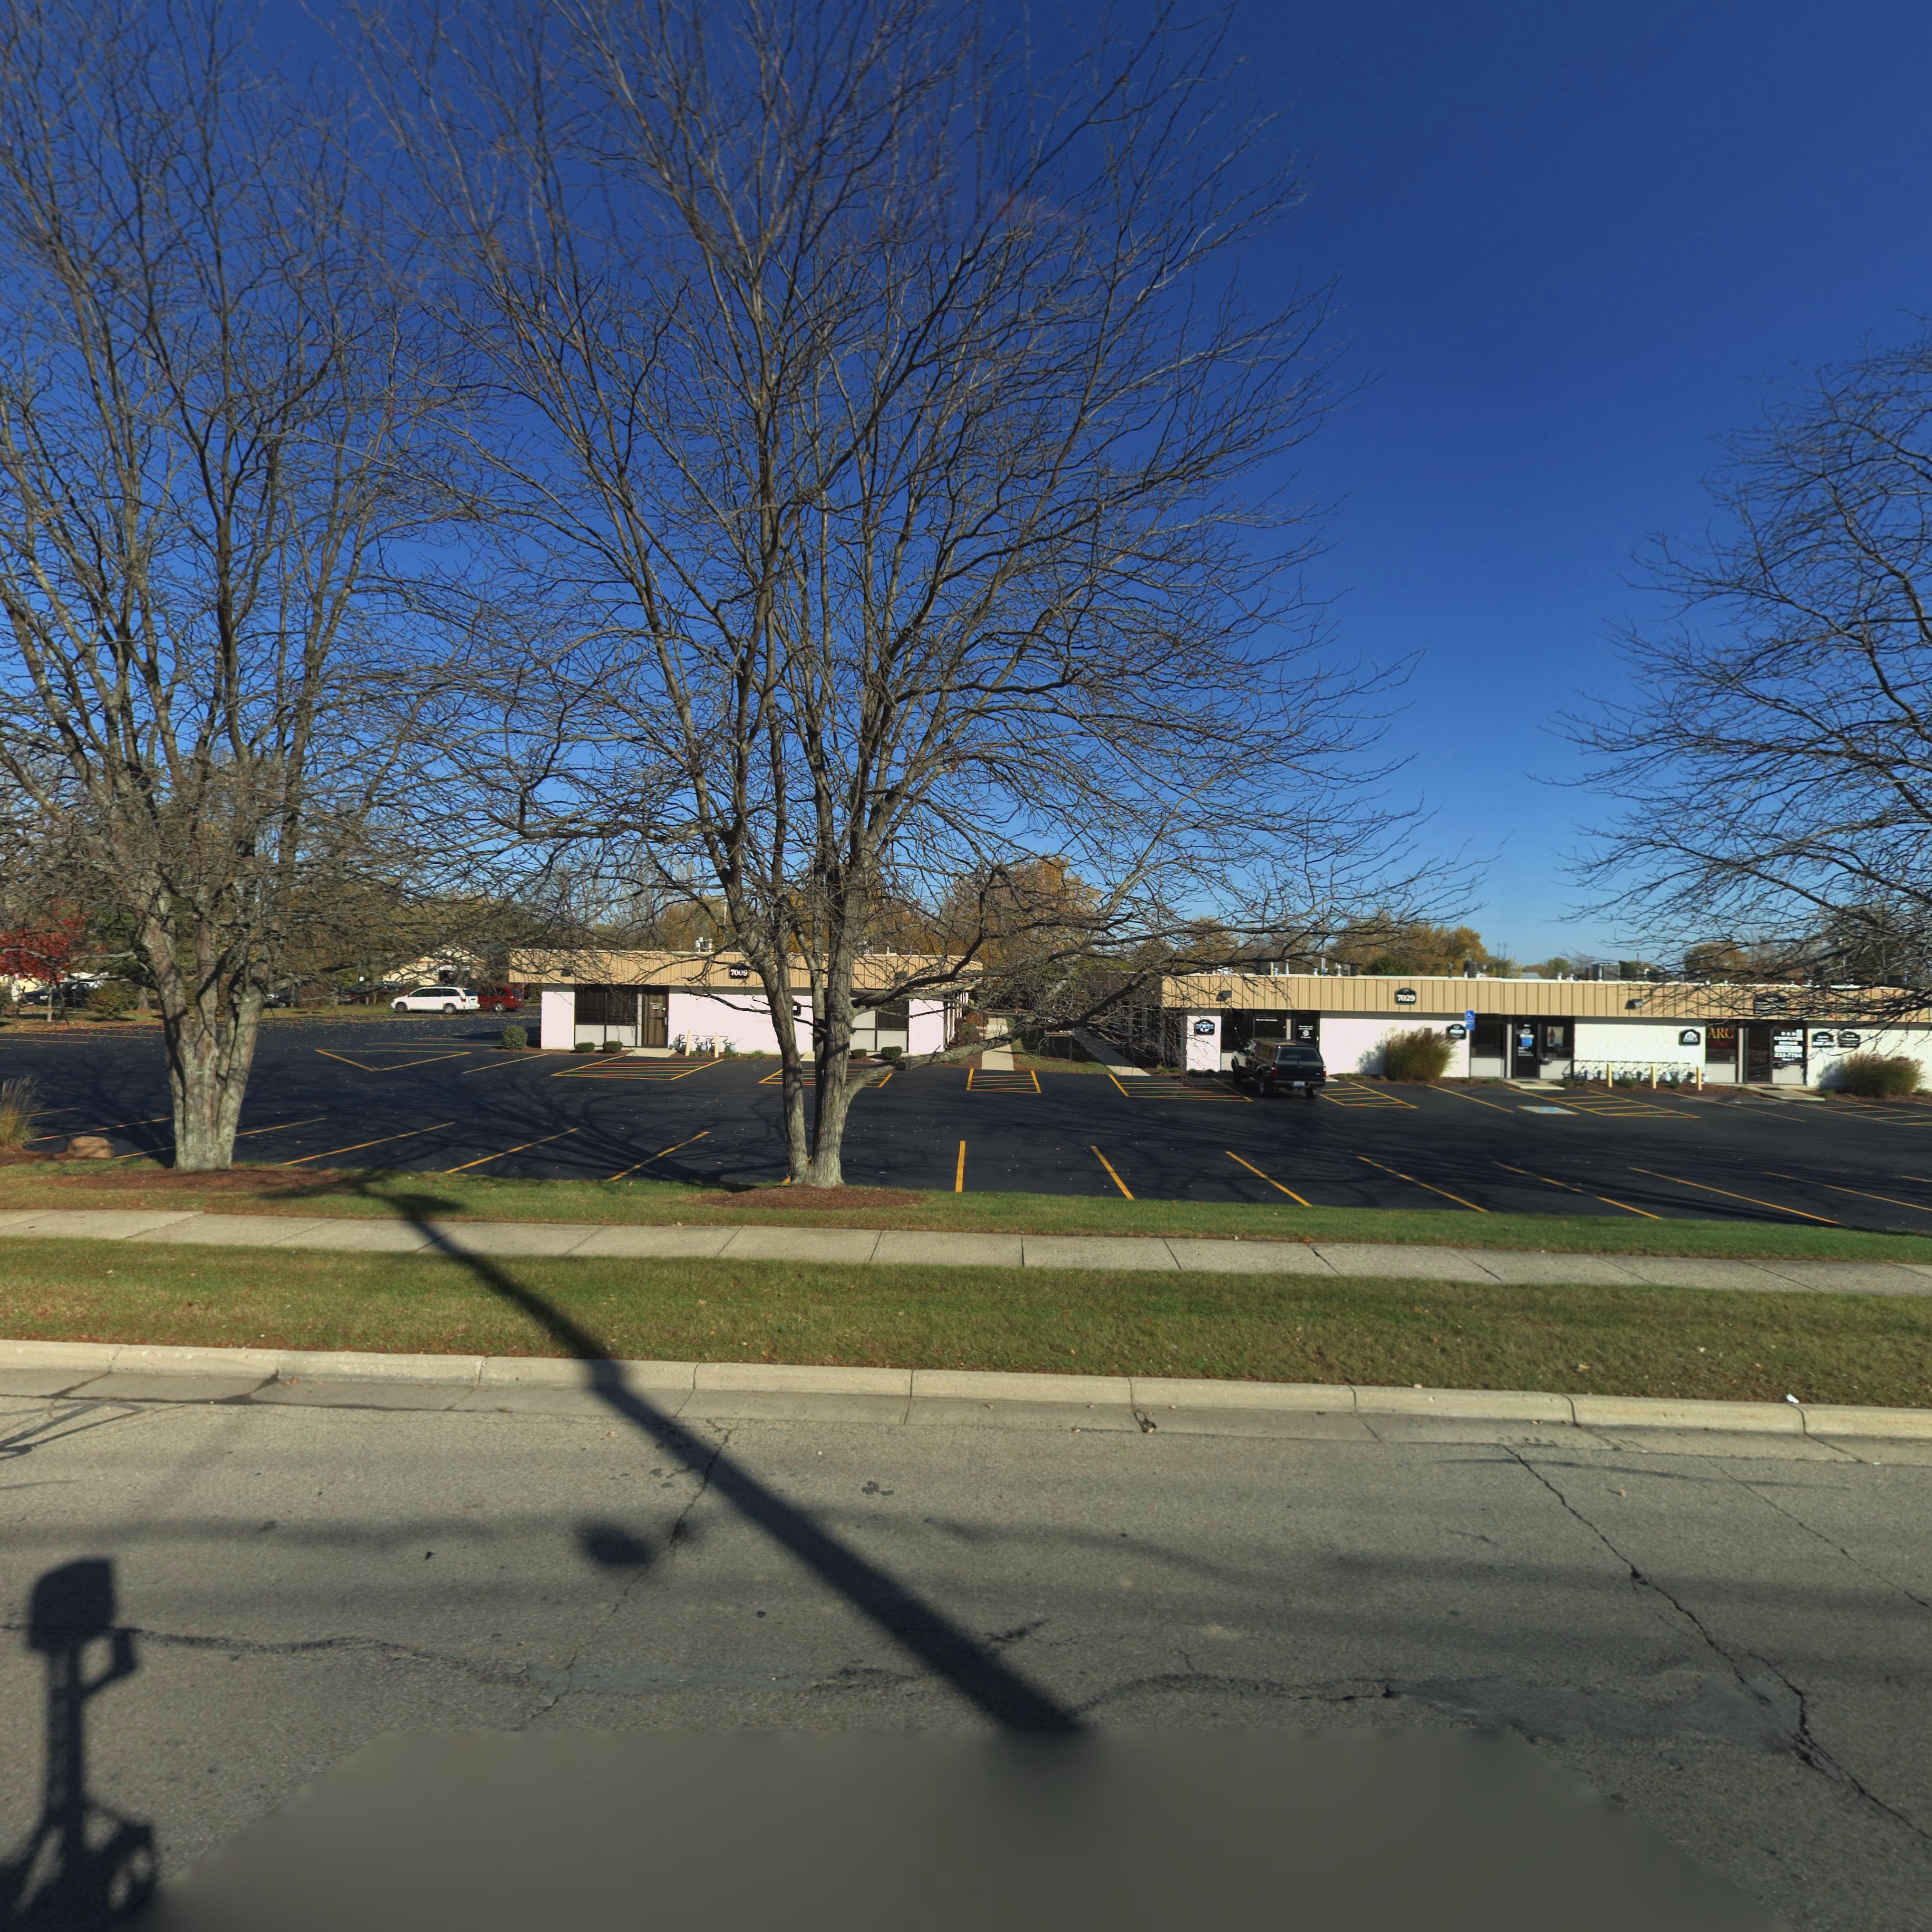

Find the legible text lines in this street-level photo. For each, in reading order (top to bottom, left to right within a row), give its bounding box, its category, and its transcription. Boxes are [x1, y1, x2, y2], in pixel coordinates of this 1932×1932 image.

[729, 968, 749, 977] StreetNumber: 7009
[1396, 994, 1416, 1003] StreetNumber: 7029
[1705, 1026, 1735, 1040] BusinessName: ARC